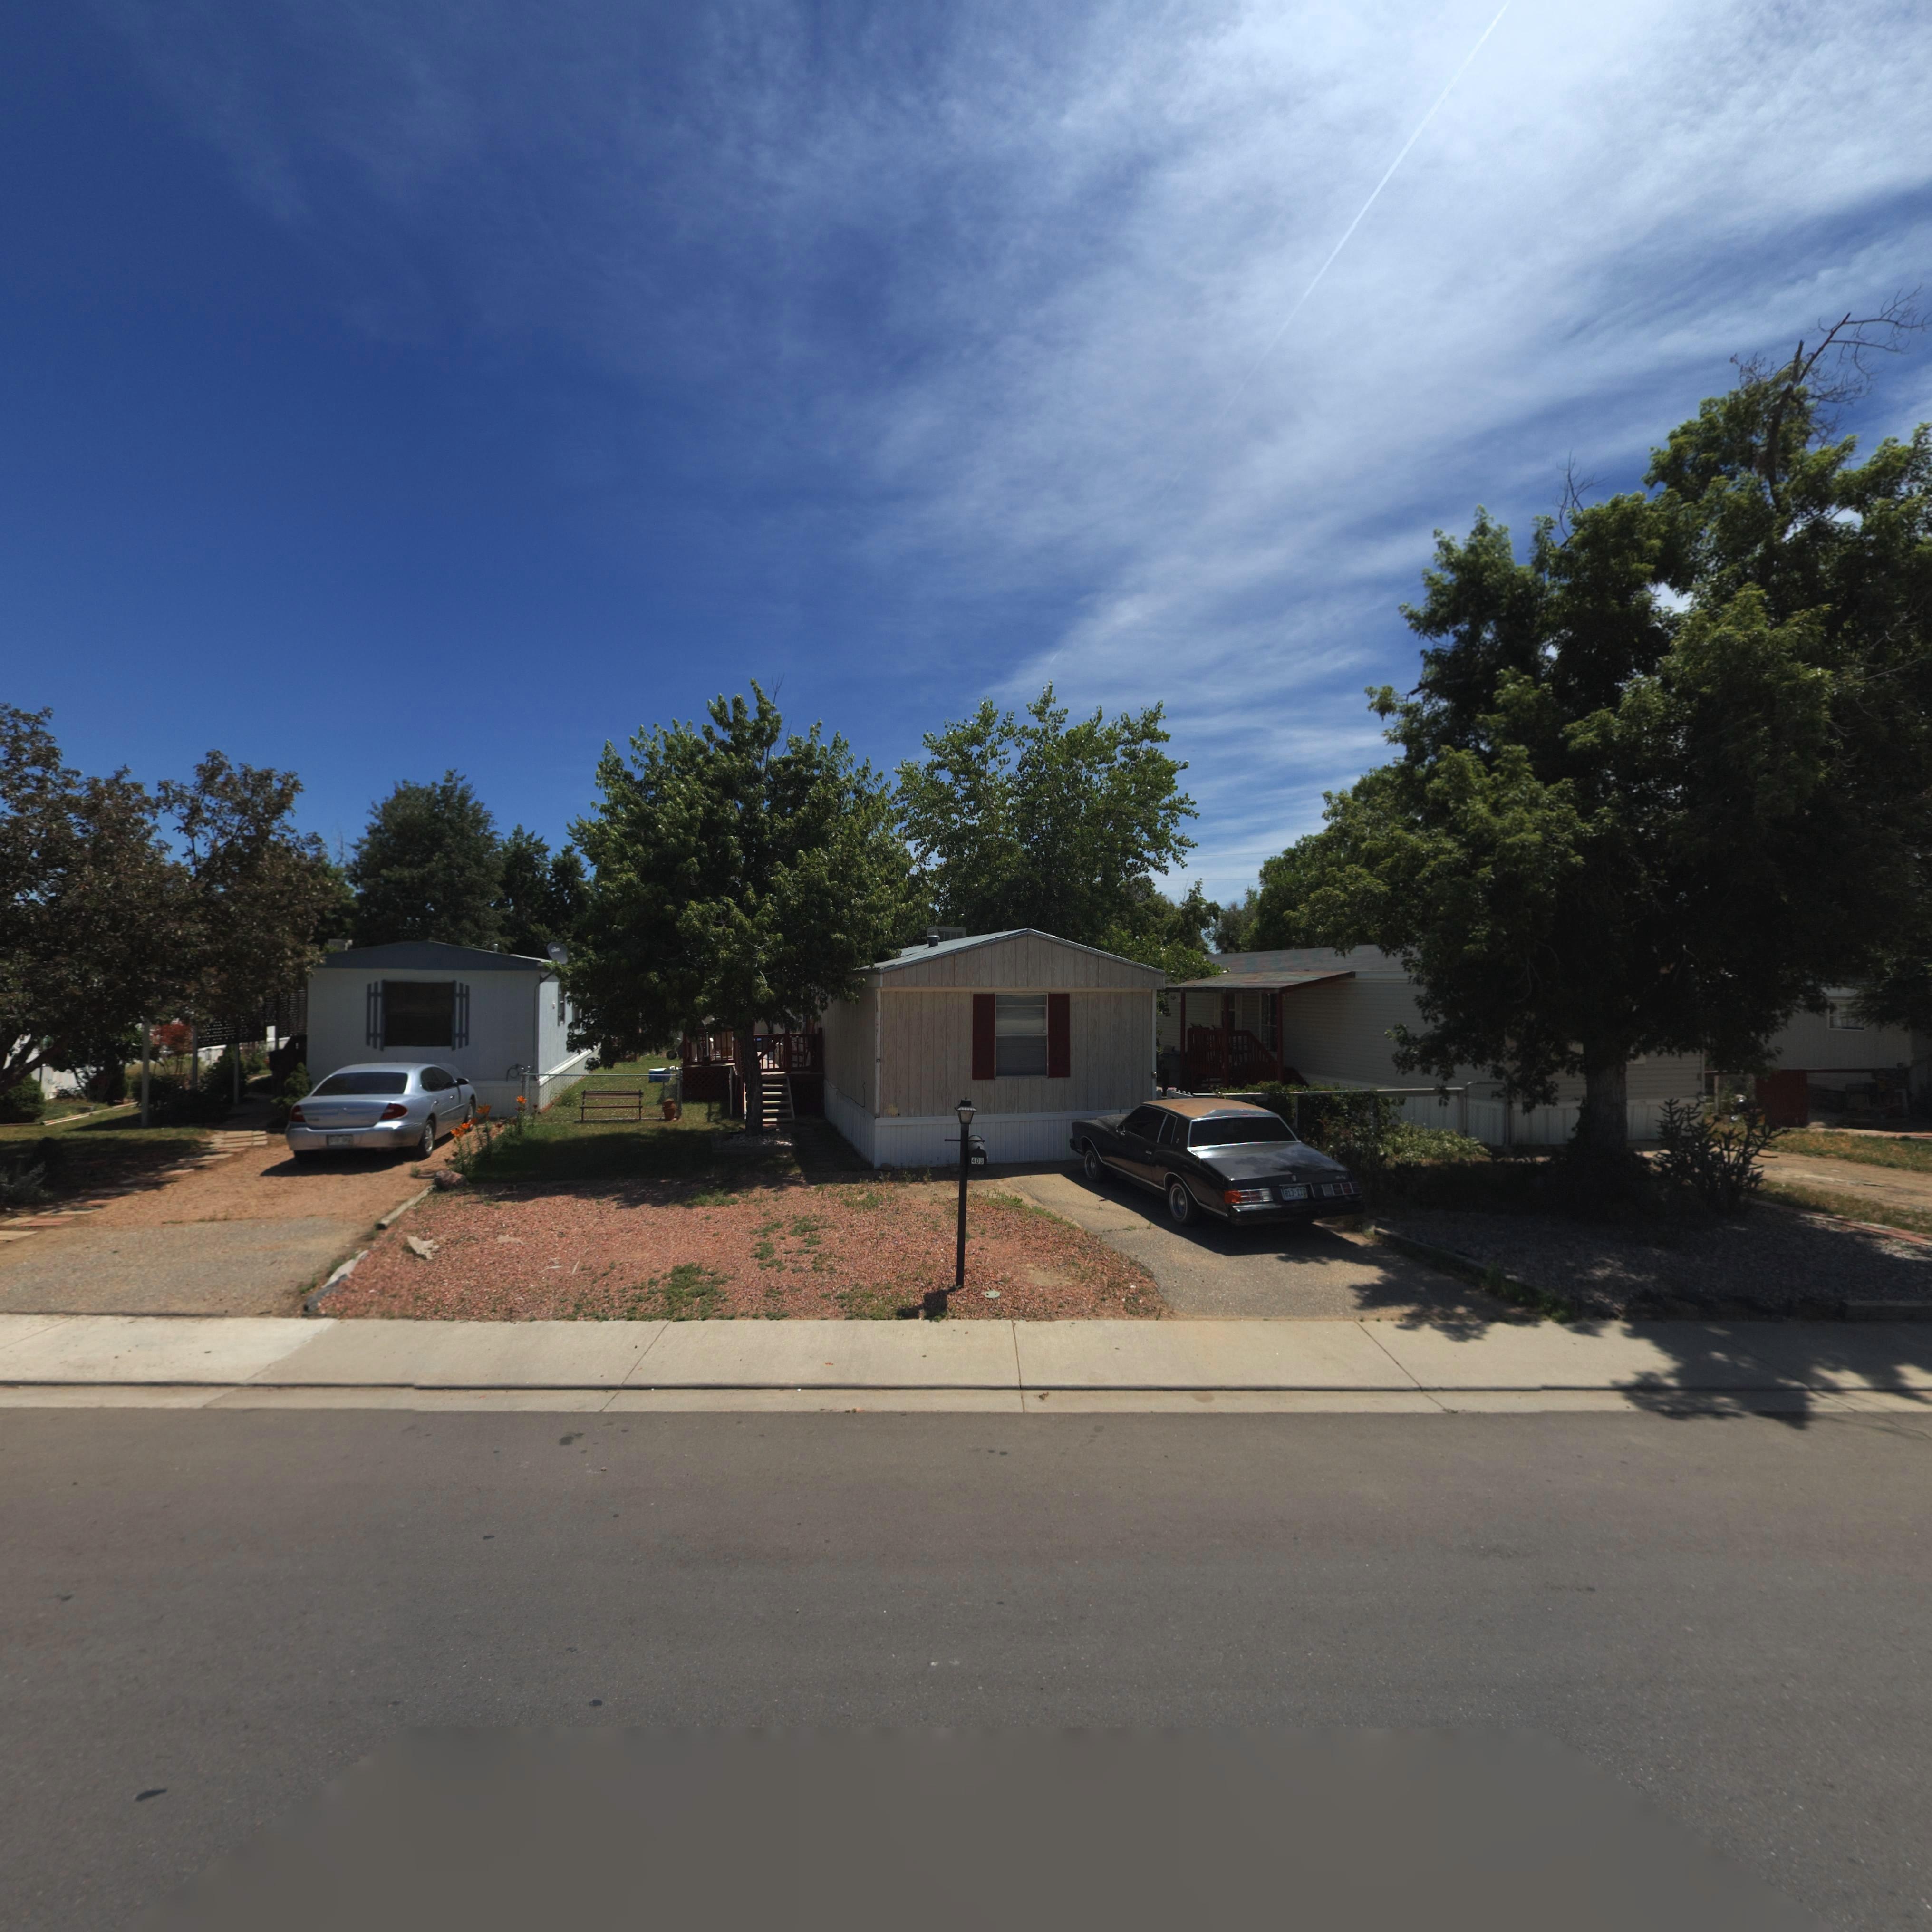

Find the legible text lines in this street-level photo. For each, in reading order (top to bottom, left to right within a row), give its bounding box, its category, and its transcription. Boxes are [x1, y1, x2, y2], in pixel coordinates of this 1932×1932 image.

[971, 1157, 983, 1164] StreetNumber: 408